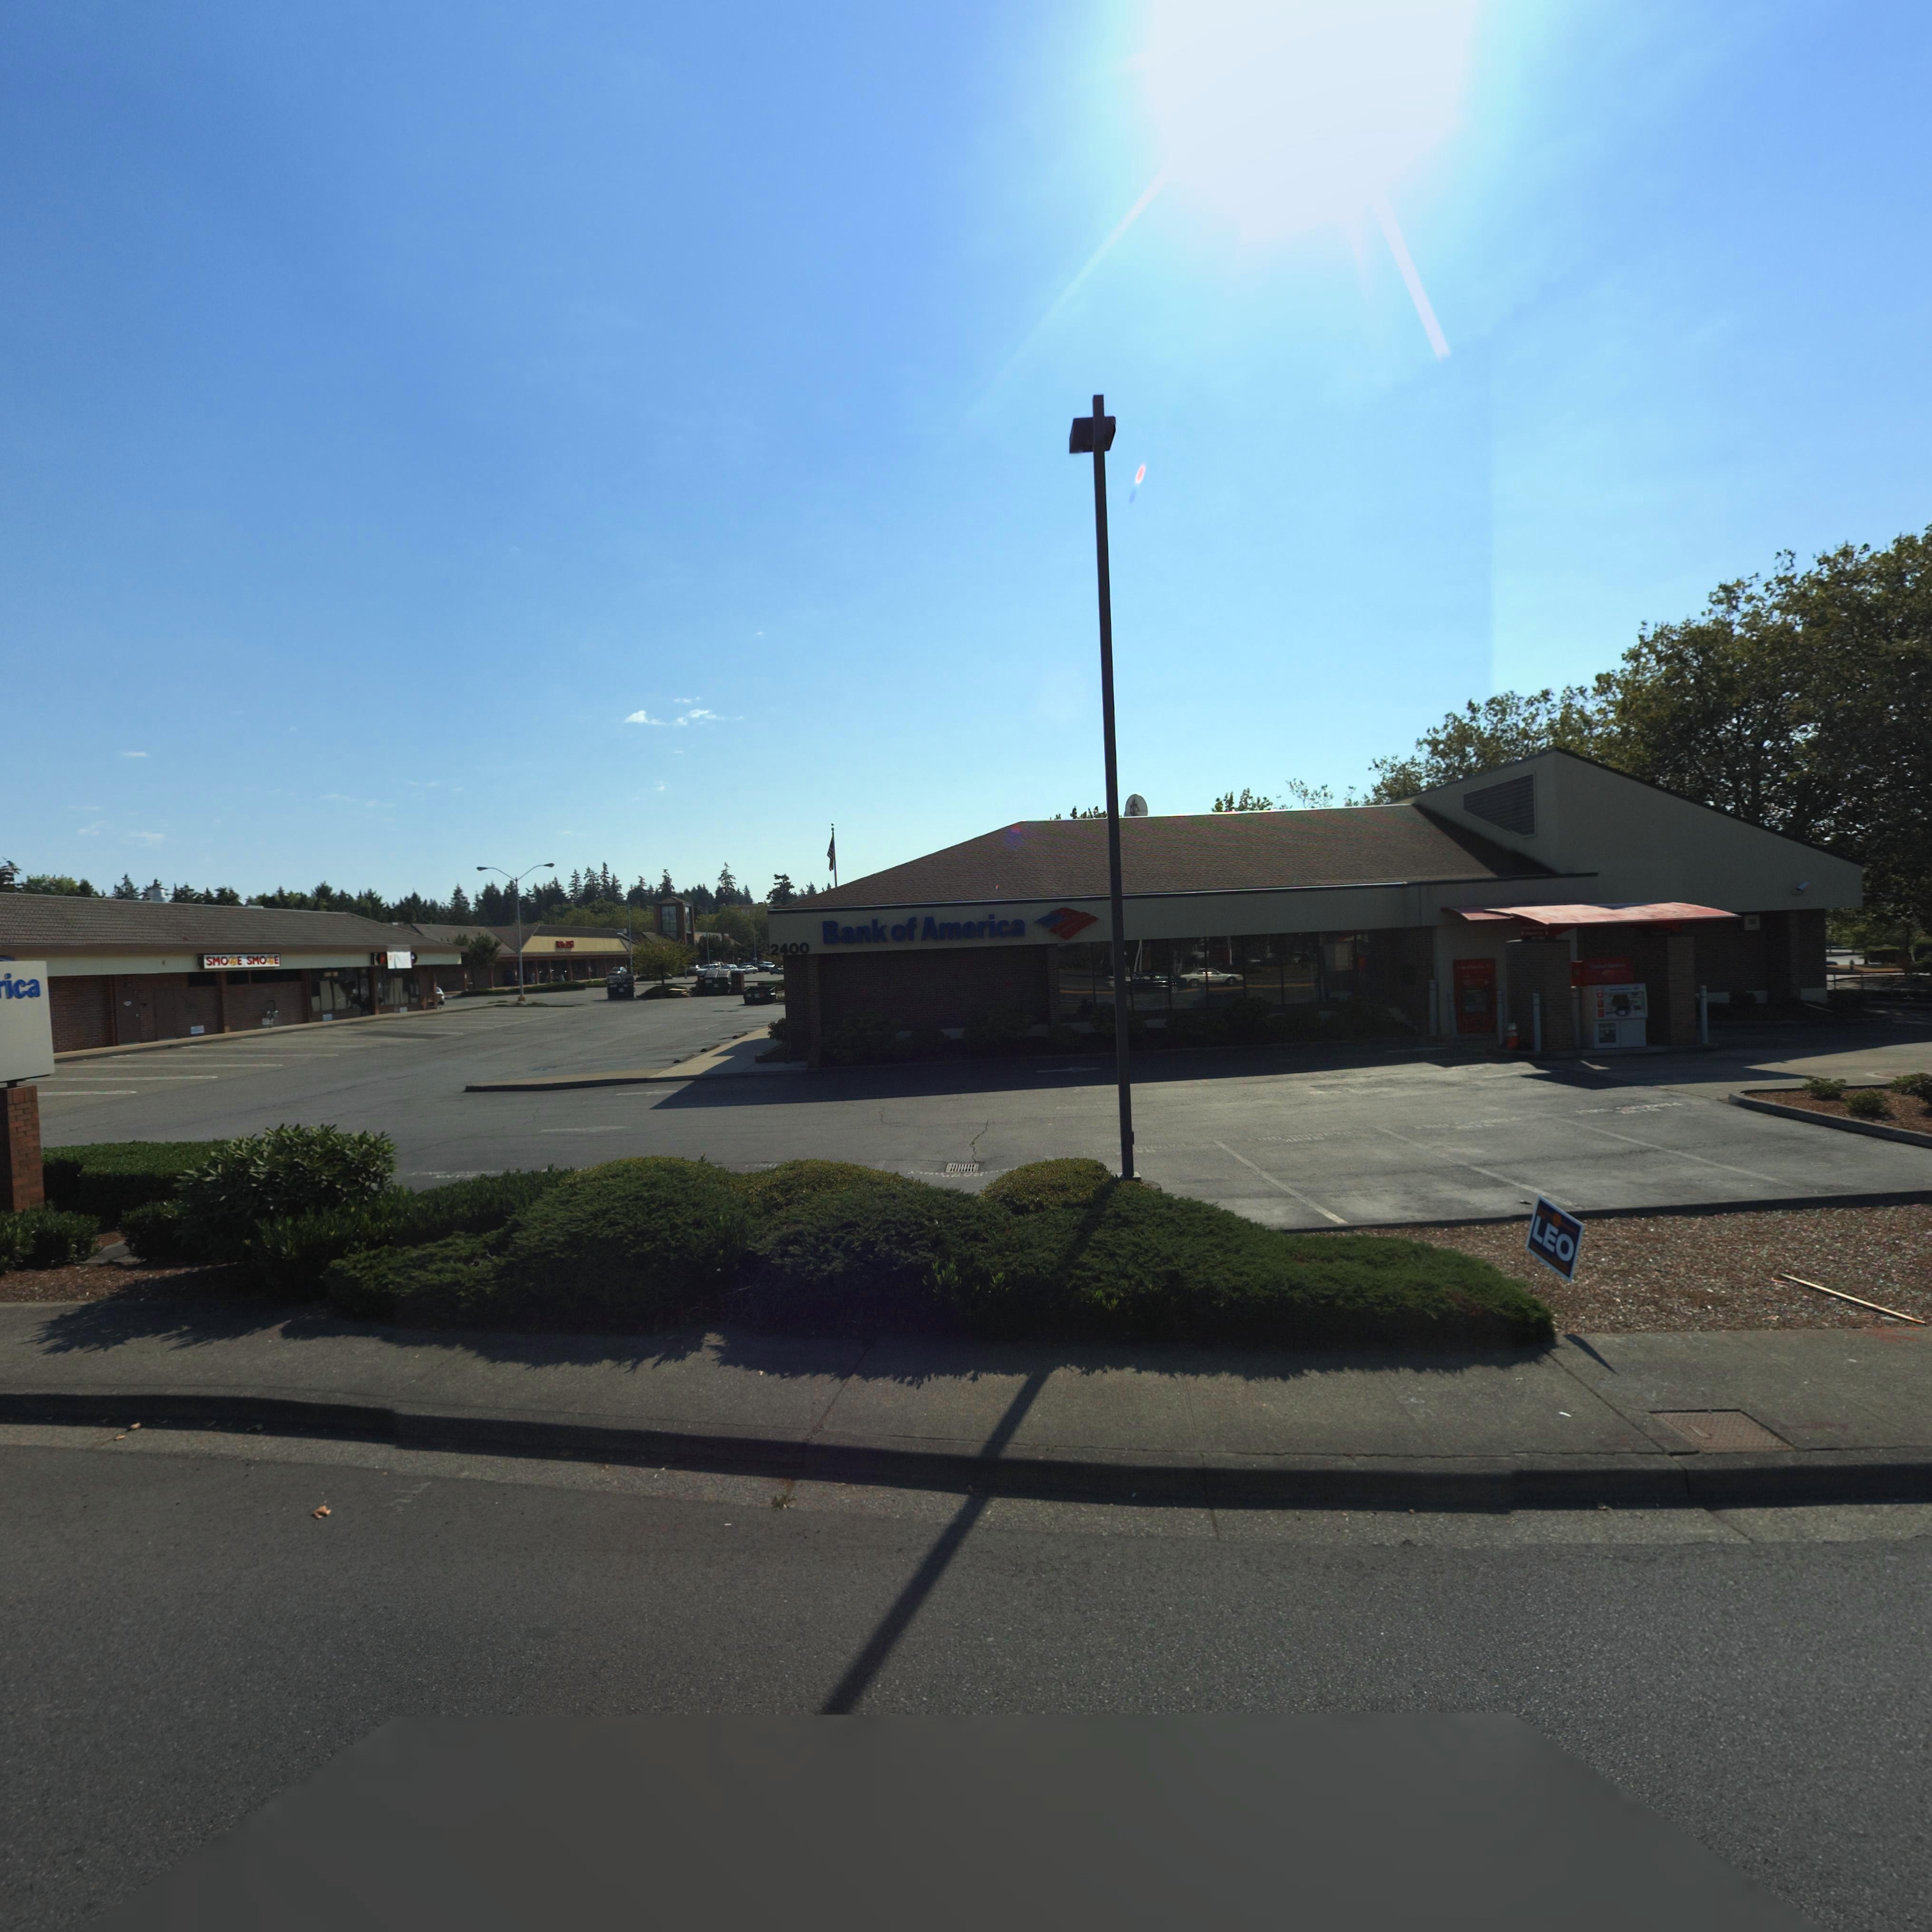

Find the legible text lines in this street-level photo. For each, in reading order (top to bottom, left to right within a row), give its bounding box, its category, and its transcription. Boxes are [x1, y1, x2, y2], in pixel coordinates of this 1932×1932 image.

[821, 912, 1025, 945] BusinessName: Bank of America
[205, 955, 278, 966] BusinessName: SMO*E SMO*E
[770, 942, 809, 956] StreetNumber: 2400
[4, 972, 41, 999] BusinessName: ica